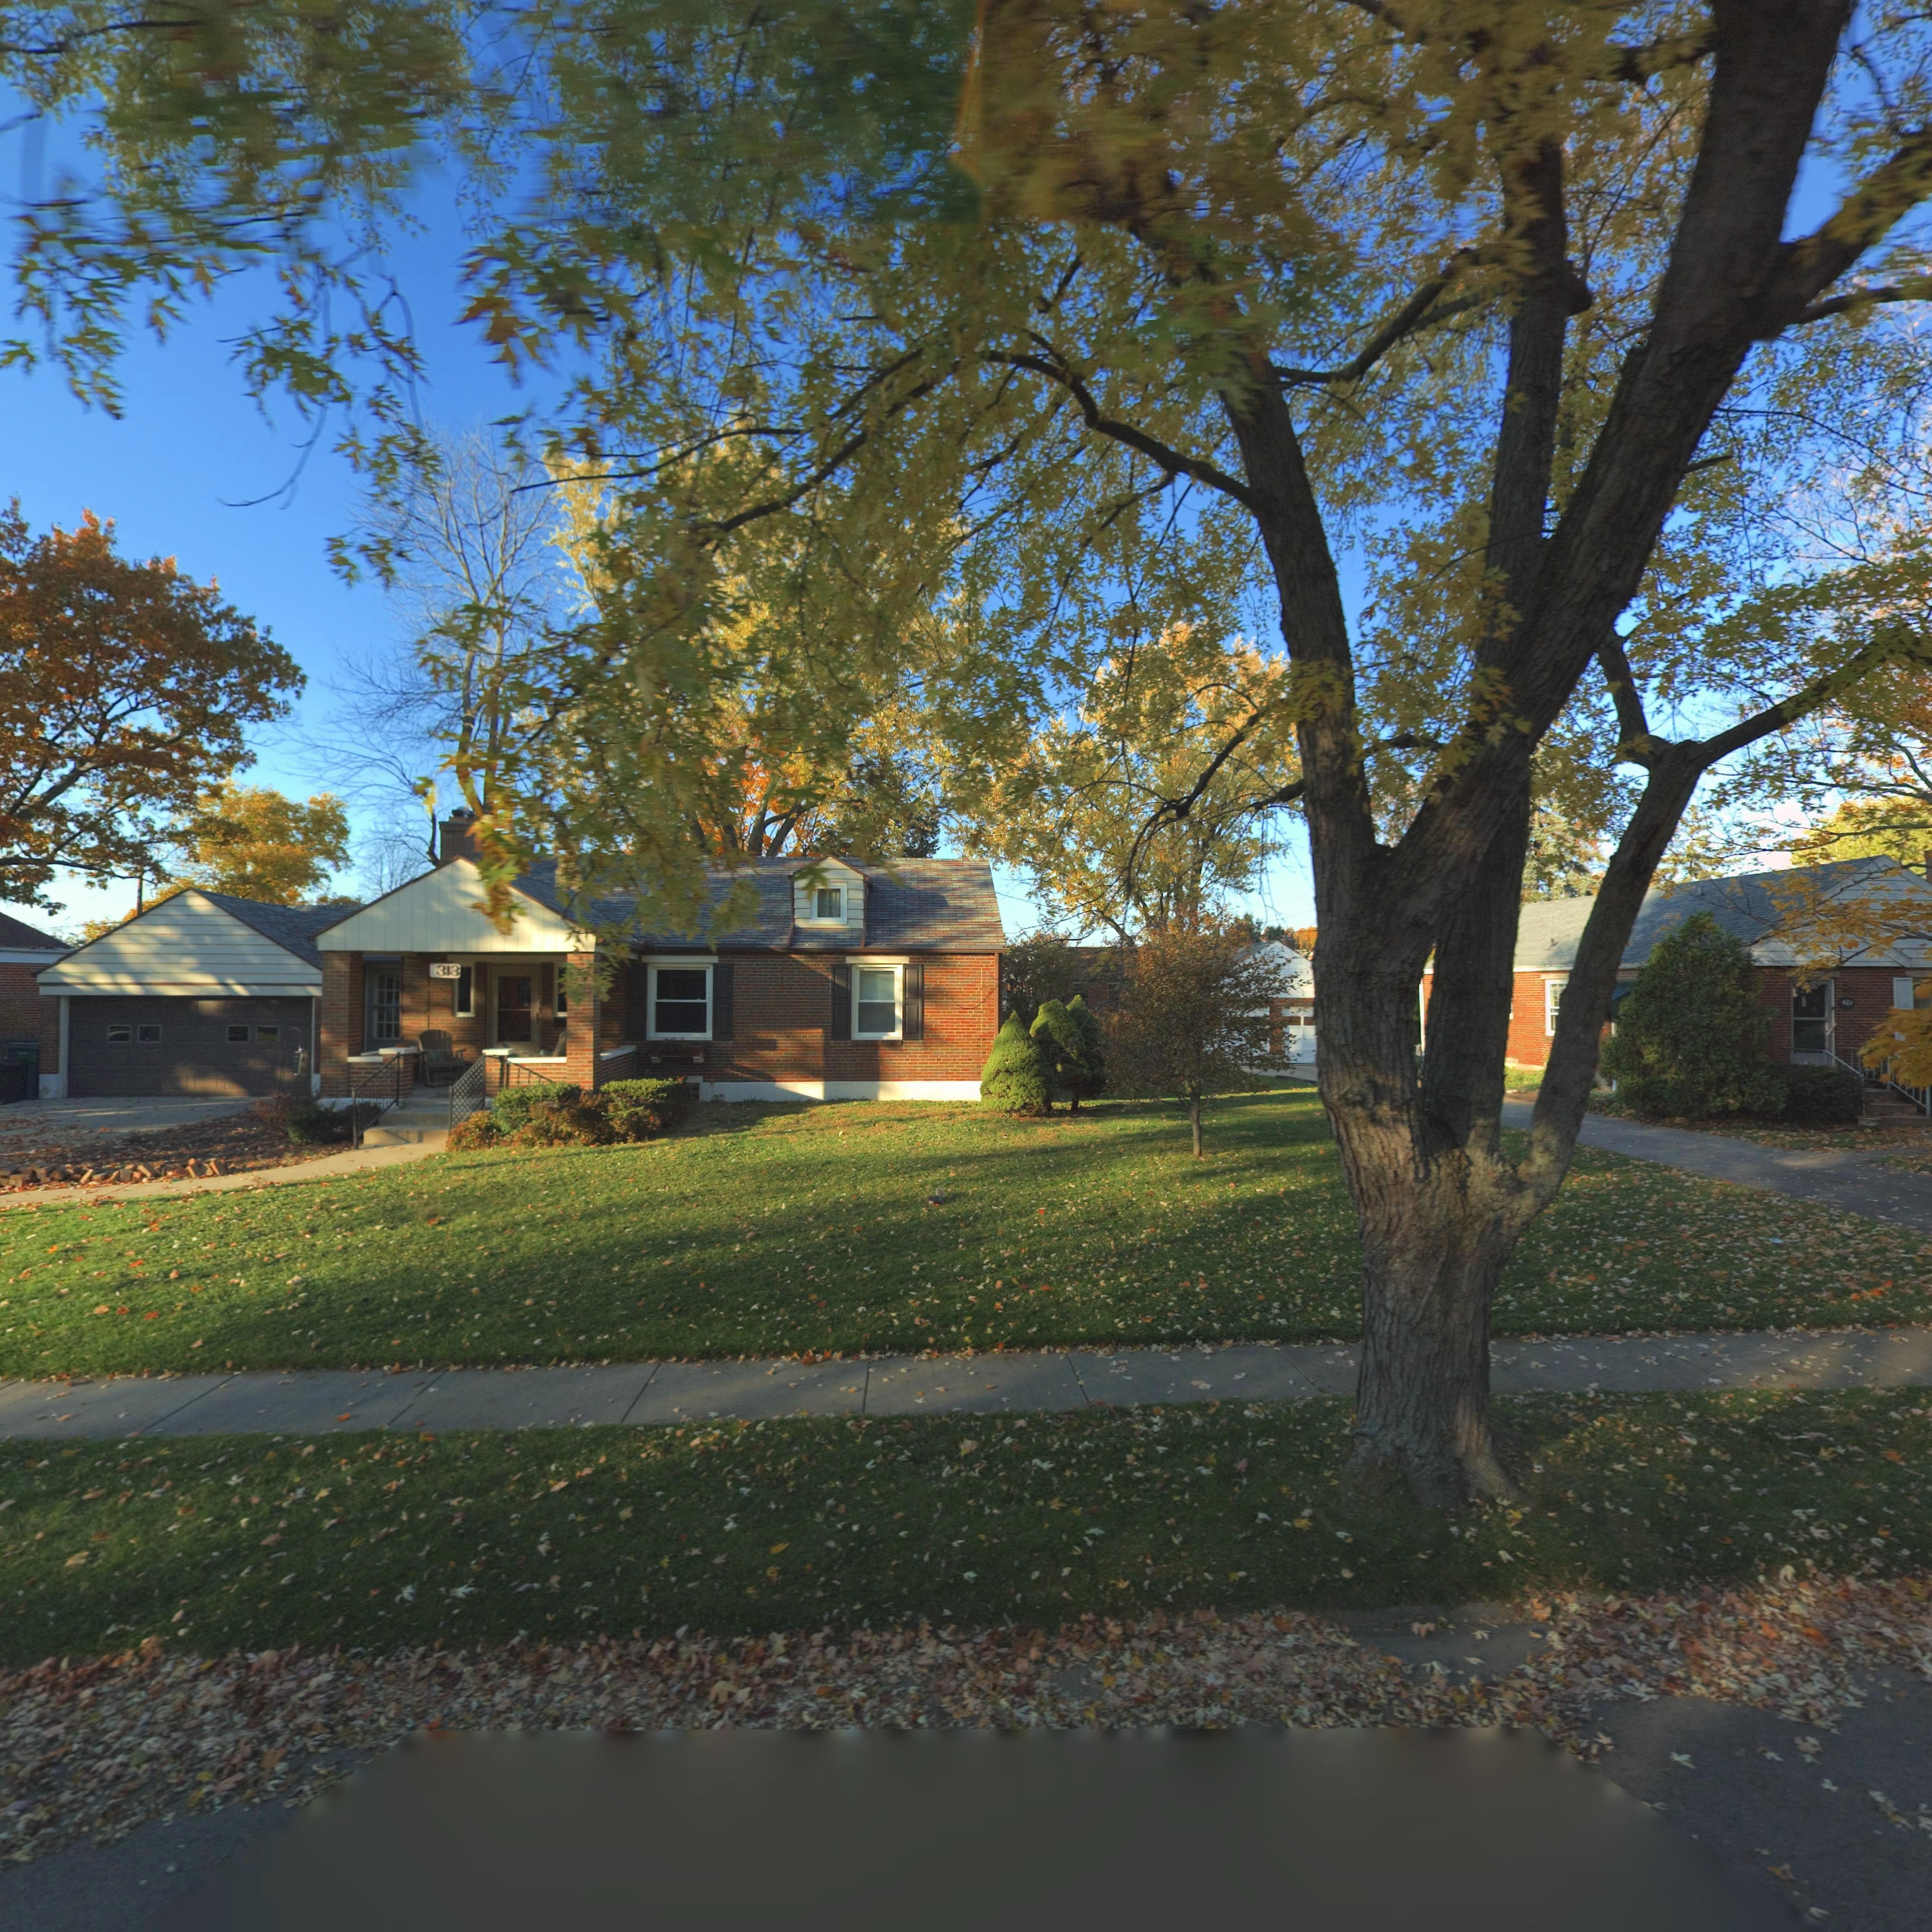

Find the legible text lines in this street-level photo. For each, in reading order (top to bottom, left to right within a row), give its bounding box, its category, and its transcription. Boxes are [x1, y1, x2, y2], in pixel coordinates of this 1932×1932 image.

[436, 965, 460, 976] StreetNumber: 313
[1840, 999, 1854, 1006] StreetNumber: 40*